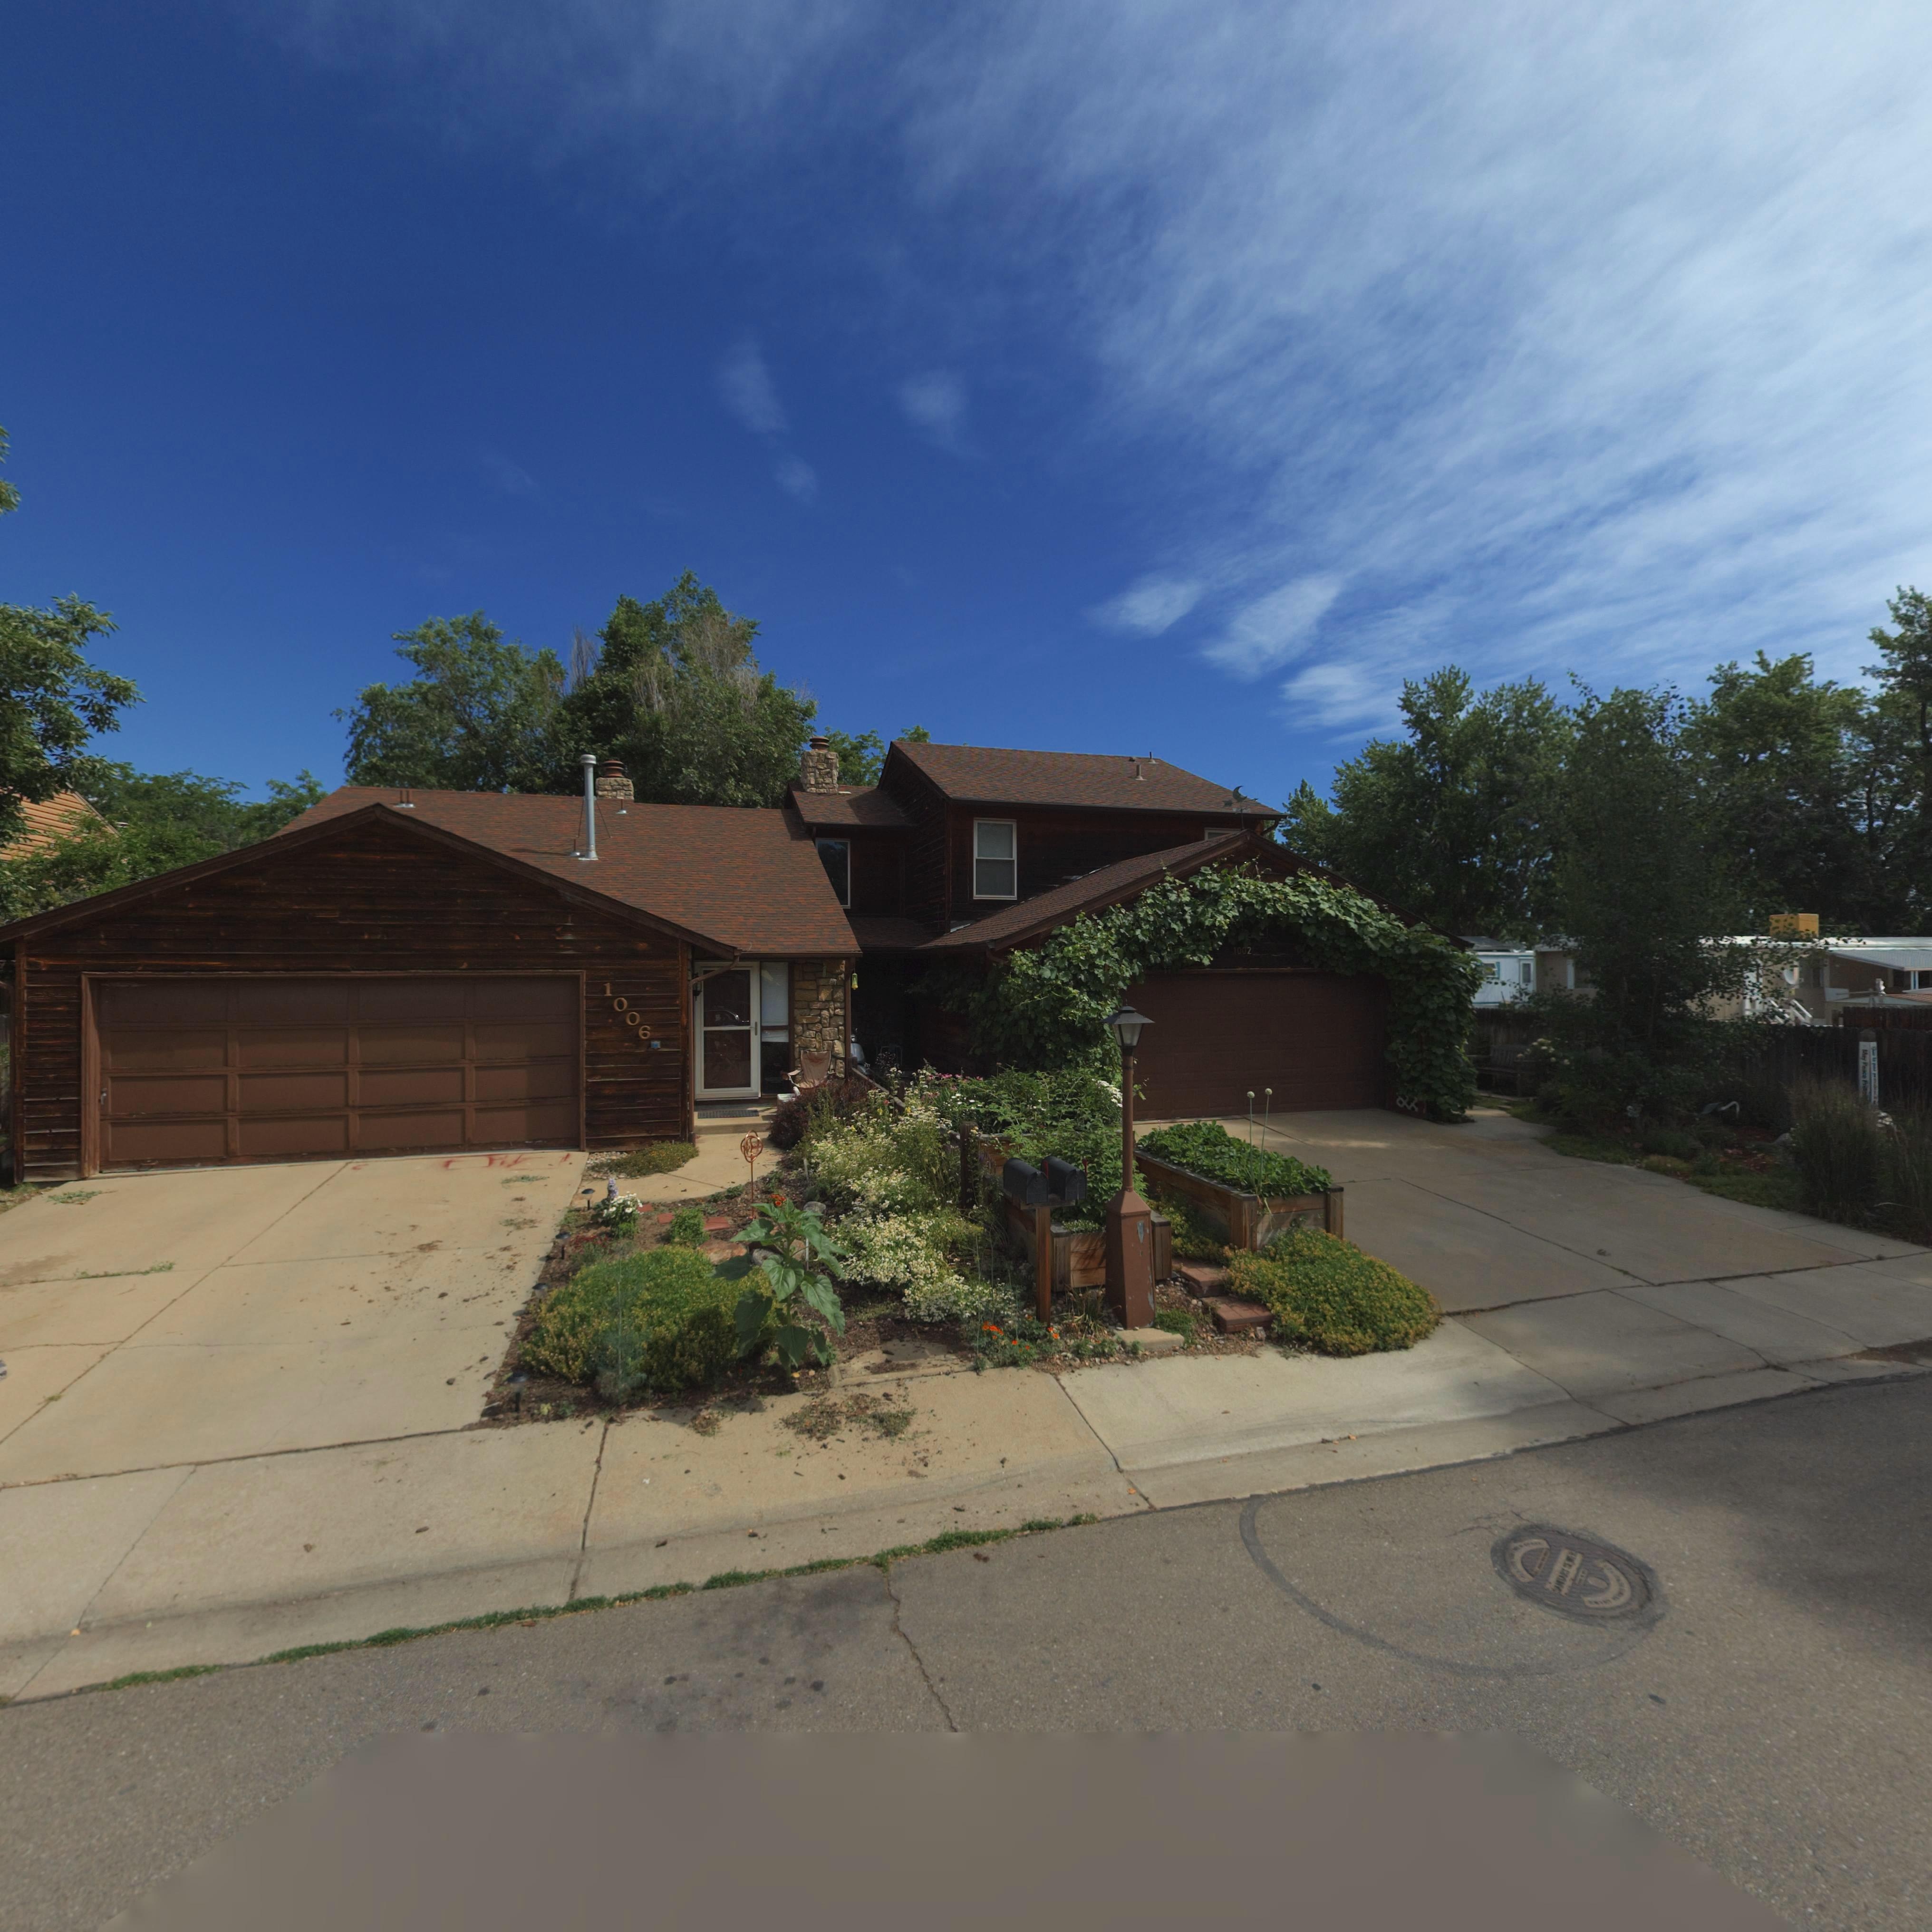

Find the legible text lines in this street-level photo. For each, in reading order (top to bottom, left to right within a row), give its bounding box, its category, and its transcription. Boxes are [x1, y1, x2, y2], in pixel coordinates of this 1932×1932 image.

[1233, 946, 1252, 954] StreetNumber: 1002
[603, 982, 650, 1039] StreetNumber: 1006